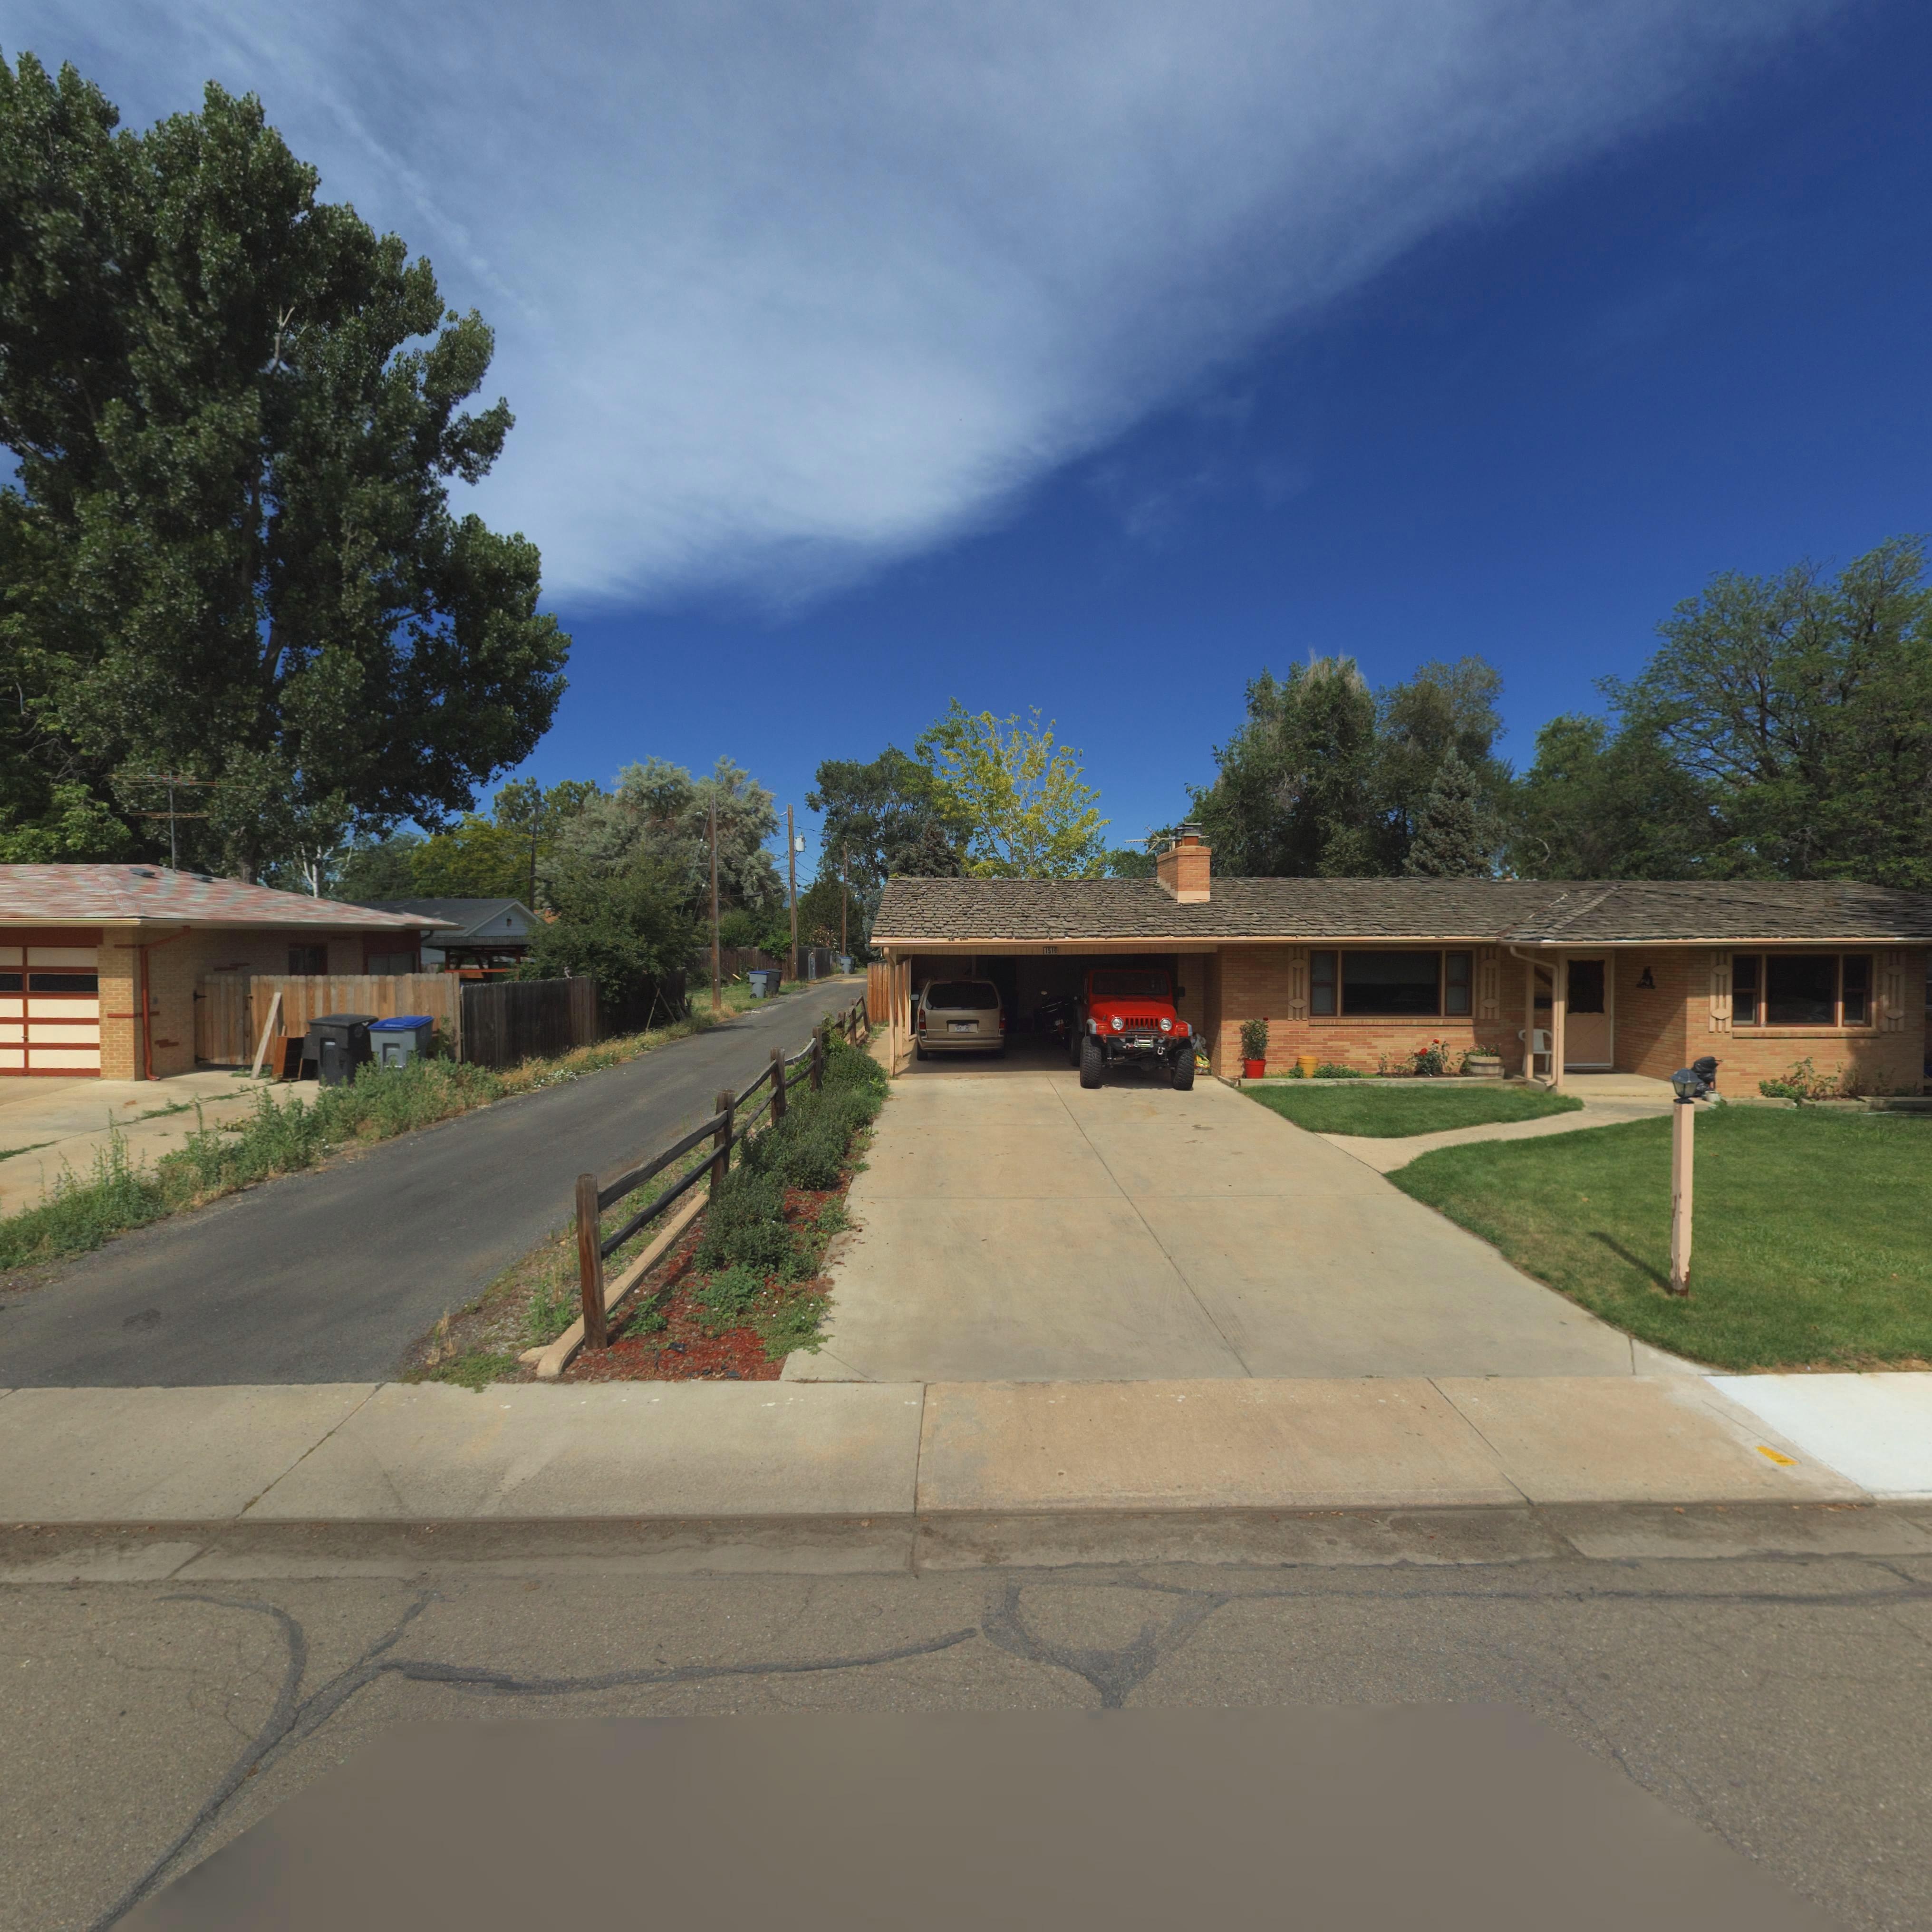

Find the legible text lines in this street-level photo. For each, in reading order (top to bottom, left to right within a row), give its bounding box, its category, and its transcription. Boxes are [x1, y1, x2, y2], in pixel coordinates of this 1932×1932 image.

[1045, 947, 1057, 954] StreetNumber: 1519